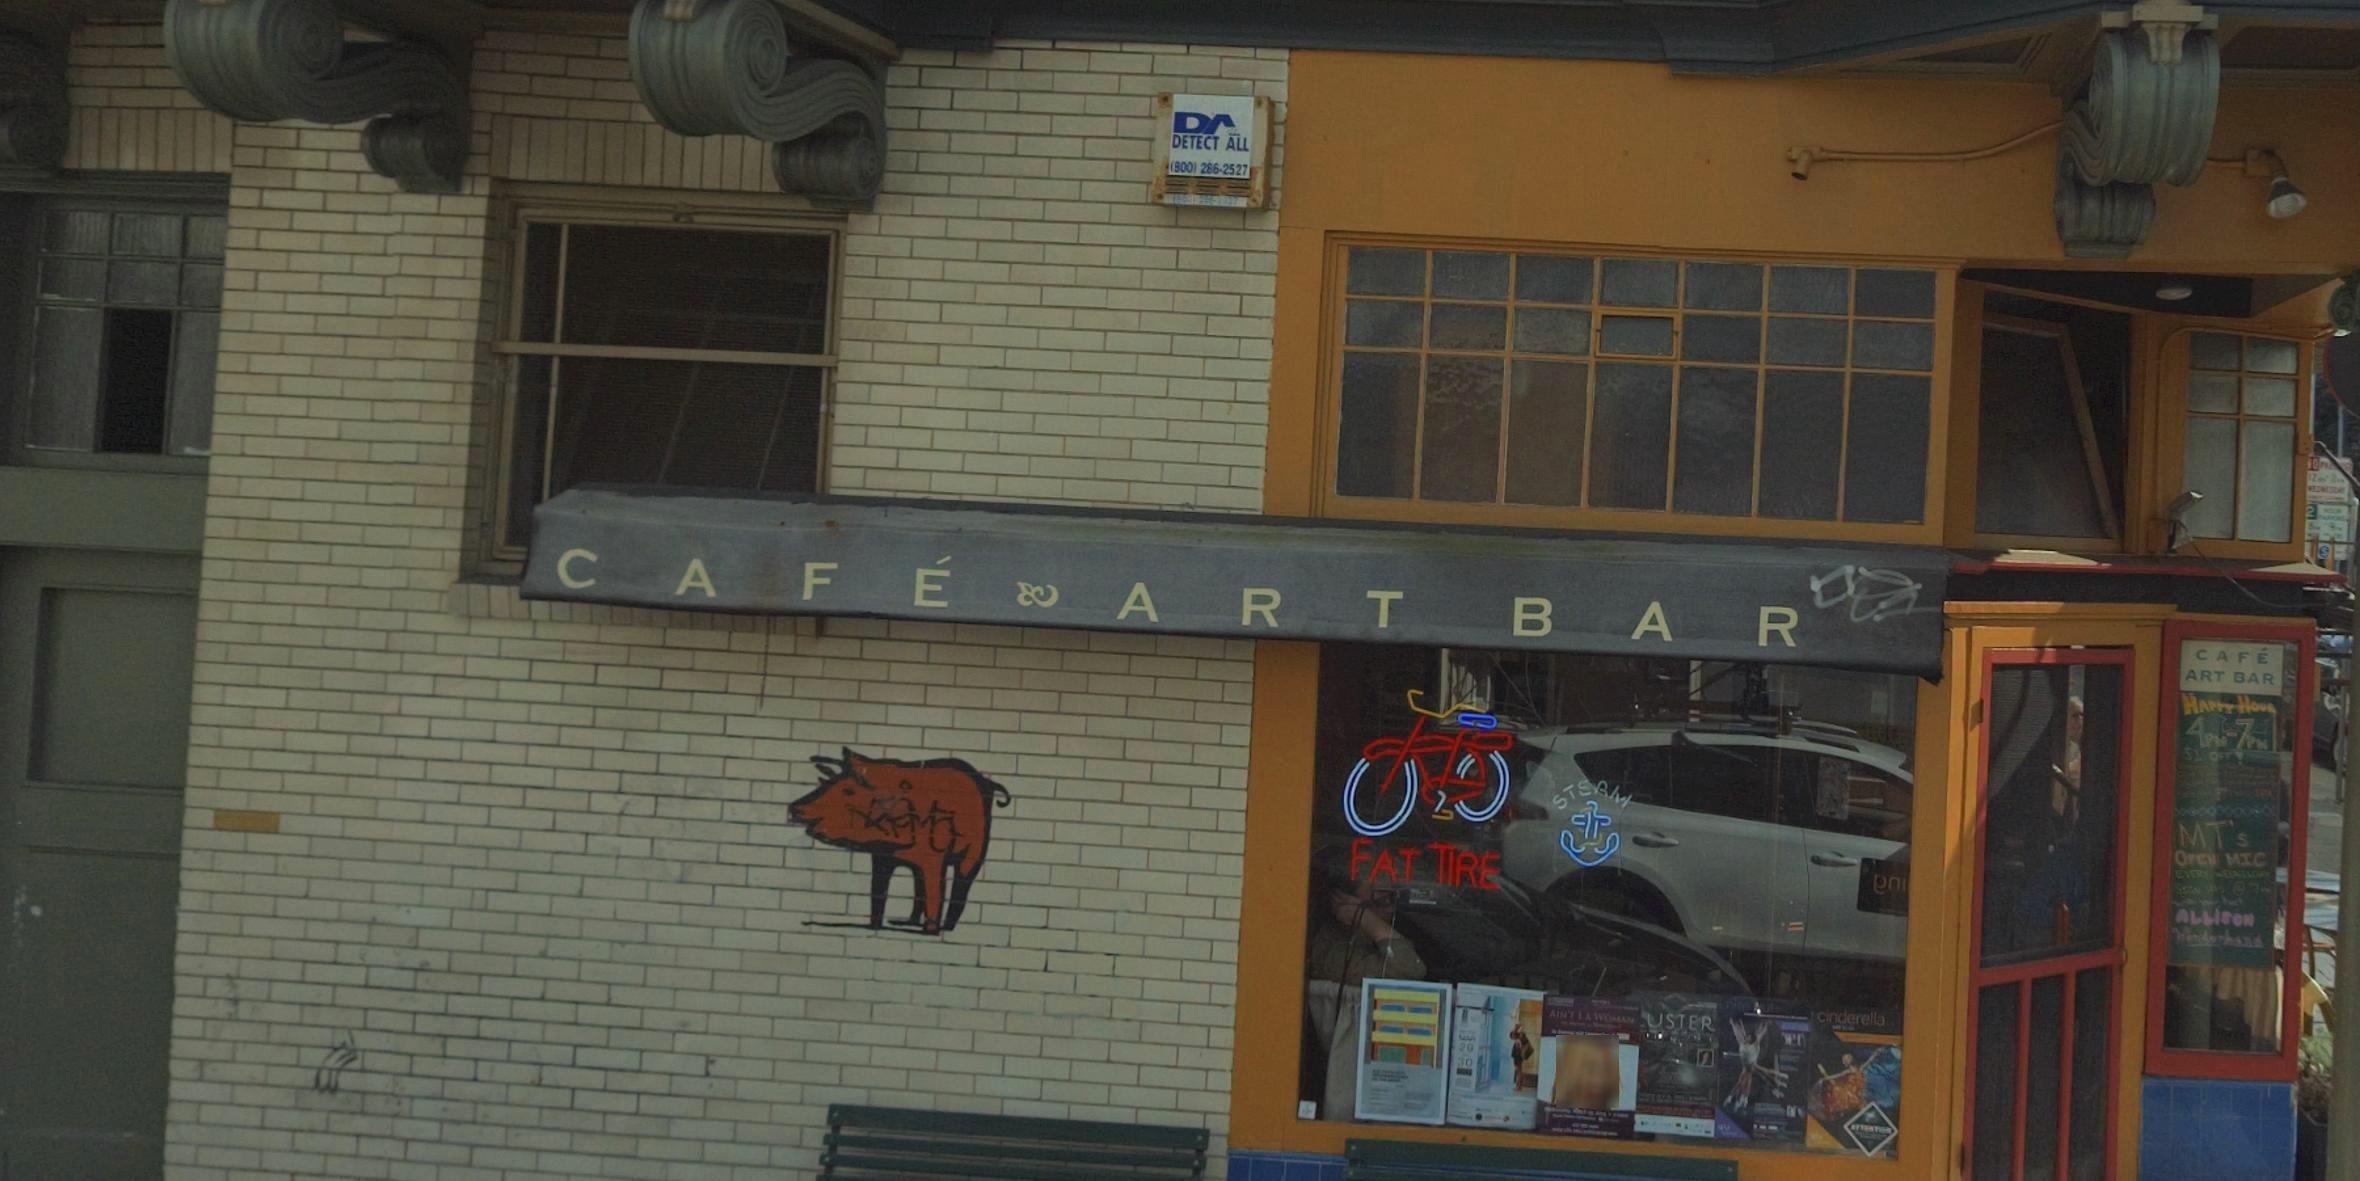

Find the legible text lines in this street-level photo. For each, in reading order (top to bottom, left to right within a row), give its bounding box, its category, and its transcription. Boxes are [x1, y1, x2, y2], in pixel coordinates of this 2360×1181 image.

[1172, 108, 1244, 139] None: D*
[1169, 132, 1252, 153] None: DETECT ALL
[1167, 157, 1251, 180] None: (900) 266-2527
[2310, 454, 2321, 473] None: O
[2303, 503, 2318, 519] None: 2
[550, 542, 1808, 656] BusinessName: CAFE * ART BAR
[2192, 644, 2273, 667] BusinessName: CAFE
[2179, 664, 2279, 689] BusinessName: ART BAR
[2177, 690, 2282, 719] None: HAPPY HOUR
[2181, 712, 2271, 752] None: 4PM-7PM
[2188, 744, 2237, 764] None: 1 OFF
[1549, 775, 1640, 815] None: STEAM
[901, 788, 961, 858] None: MO
[2175, 816, 2254, 851] None: MT's
[1344, 834, 1505, 895] None: FAT TIRE
[2171, 866, 2212, 882] None: EVERY
[2170, 848, 2271, 871] None: OPEN MIC
[2244, 880, 2264, 898] None: 7\
[2171, 904, 2258, 930] None: ALLISON
[1544, 1006, 1637, 1027] None: AIN'T LA WOMAN
[1643, 1010, 1719, 1034] None: USTER
[1814, 1006, 1888, 1029] None: citderella